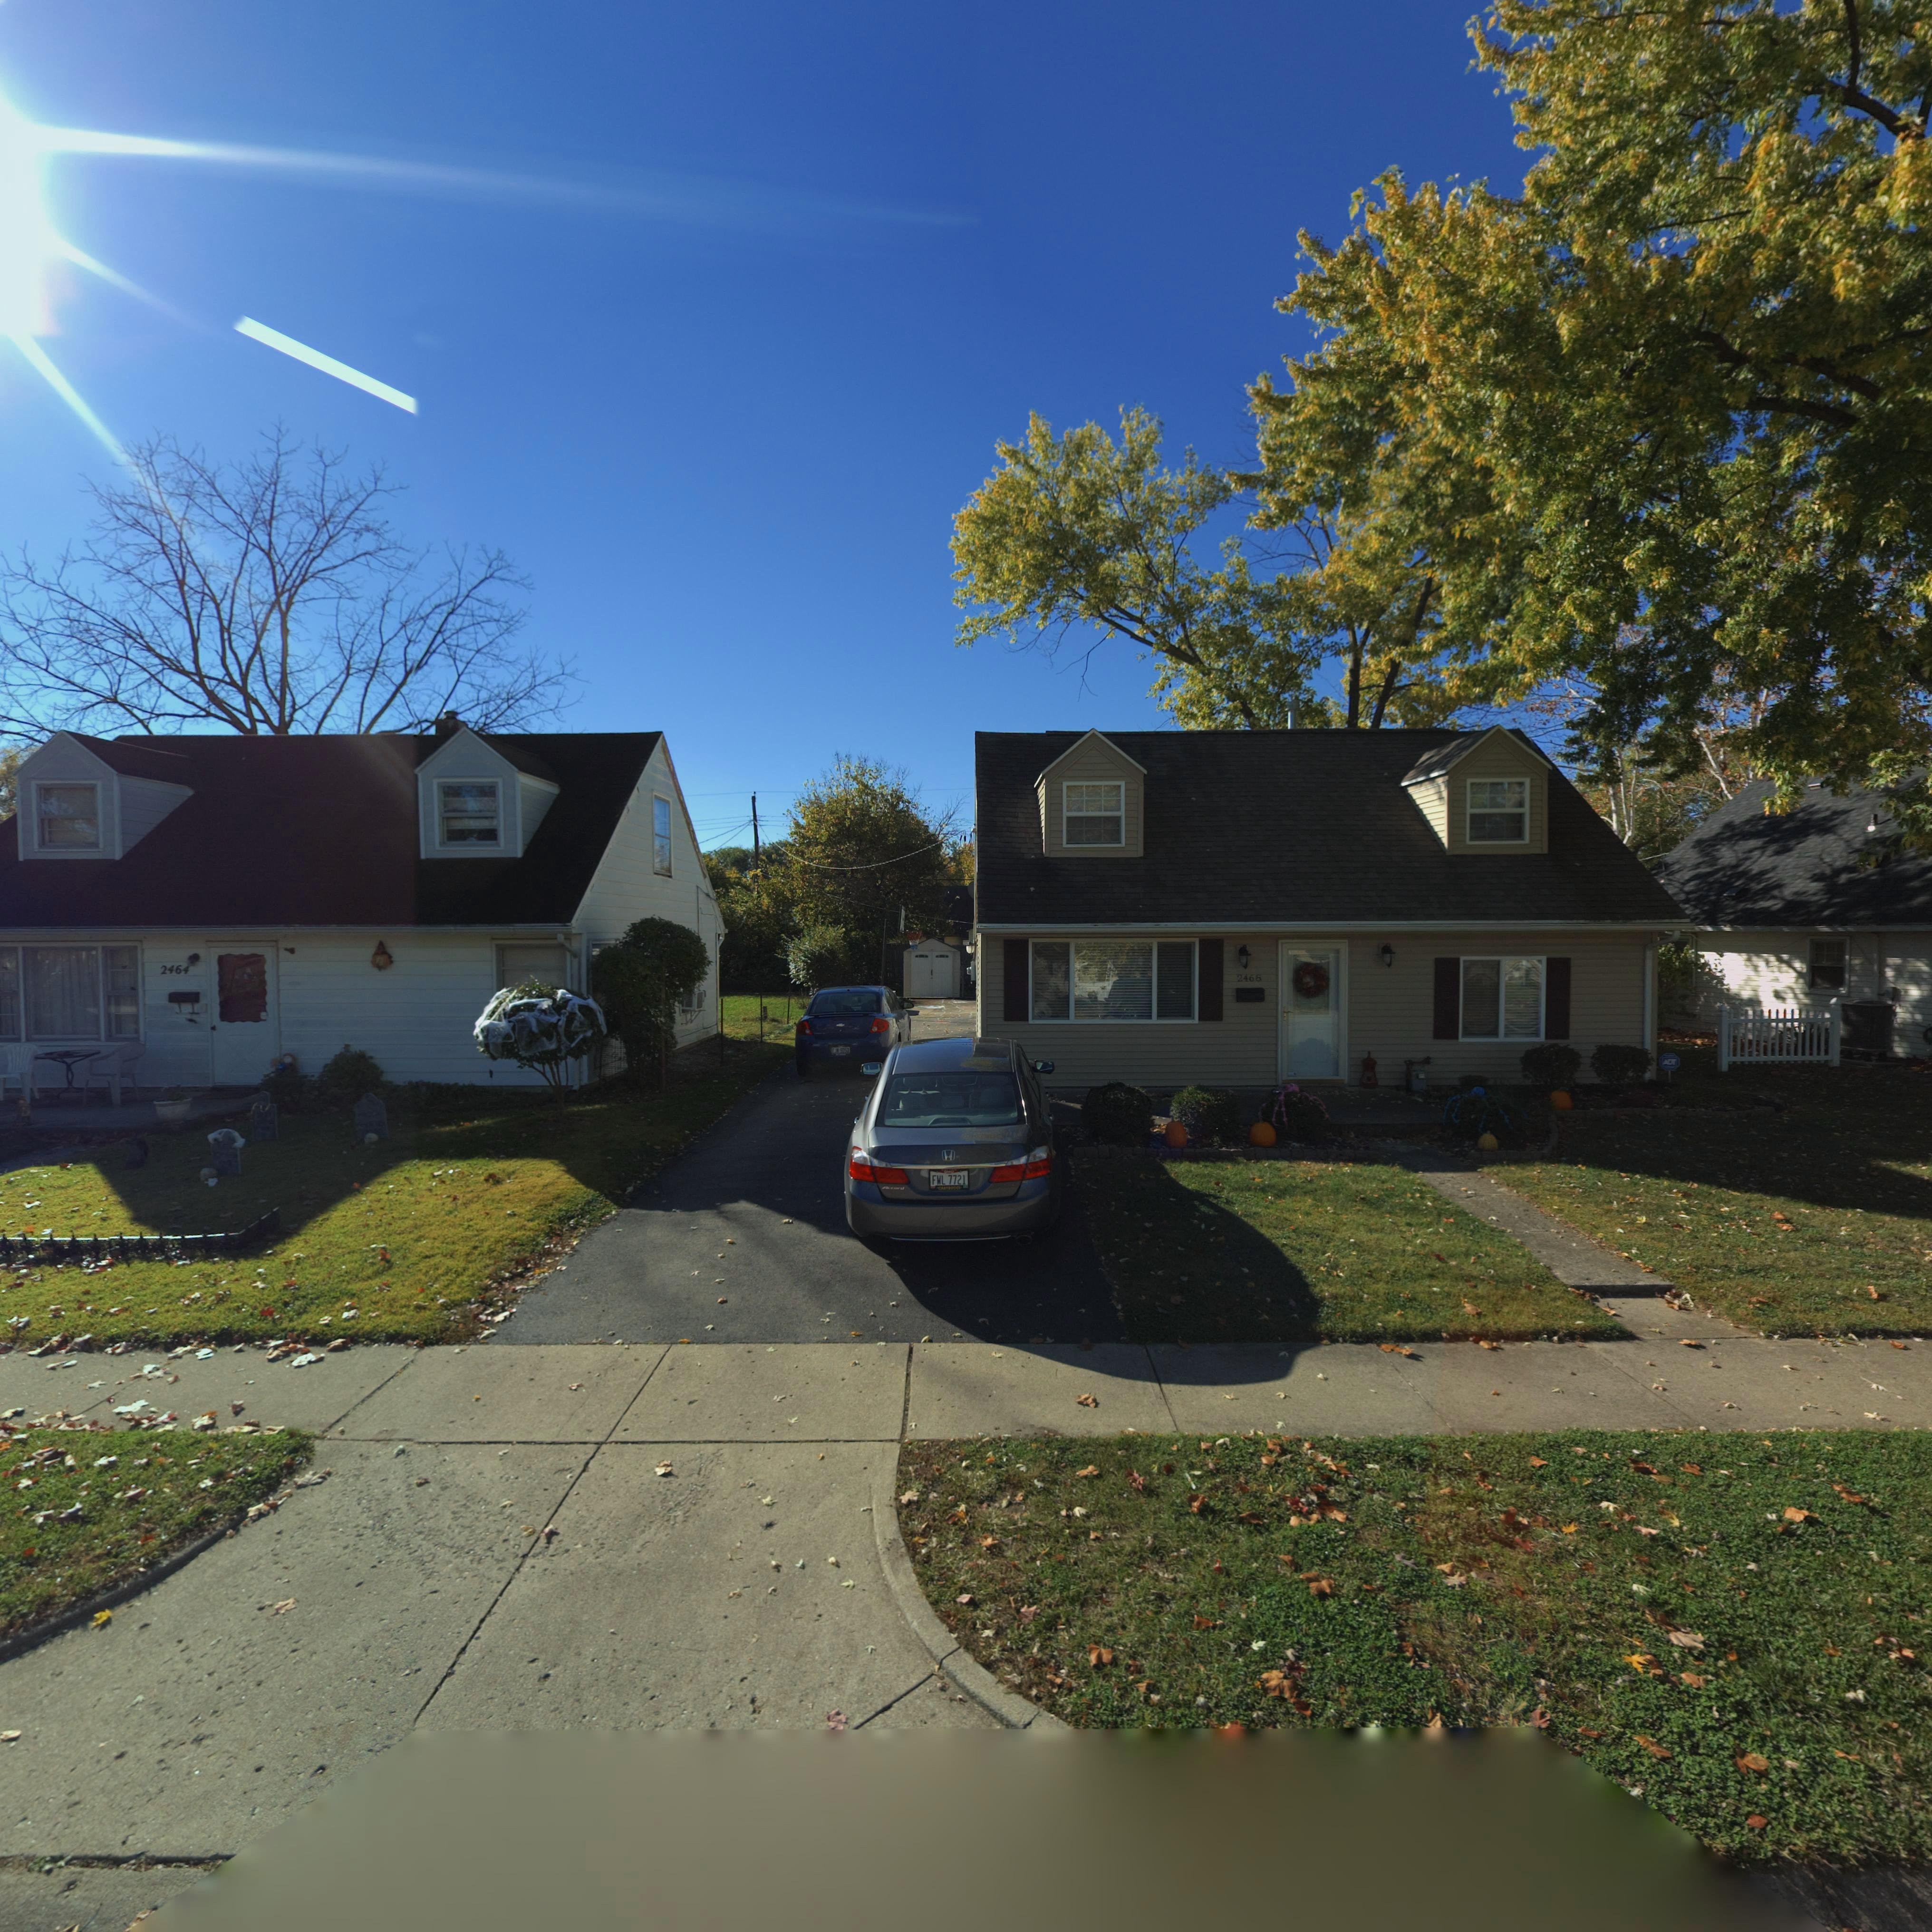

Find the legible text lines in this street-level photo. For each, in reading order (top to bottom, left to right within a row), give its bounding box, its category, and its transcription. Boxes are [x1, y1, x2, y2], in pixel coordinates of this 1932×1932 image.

[160, 964, 190, 975] StreetNumber: 2464
[1236, 974, 1262, 982] StreetNumber: 2468